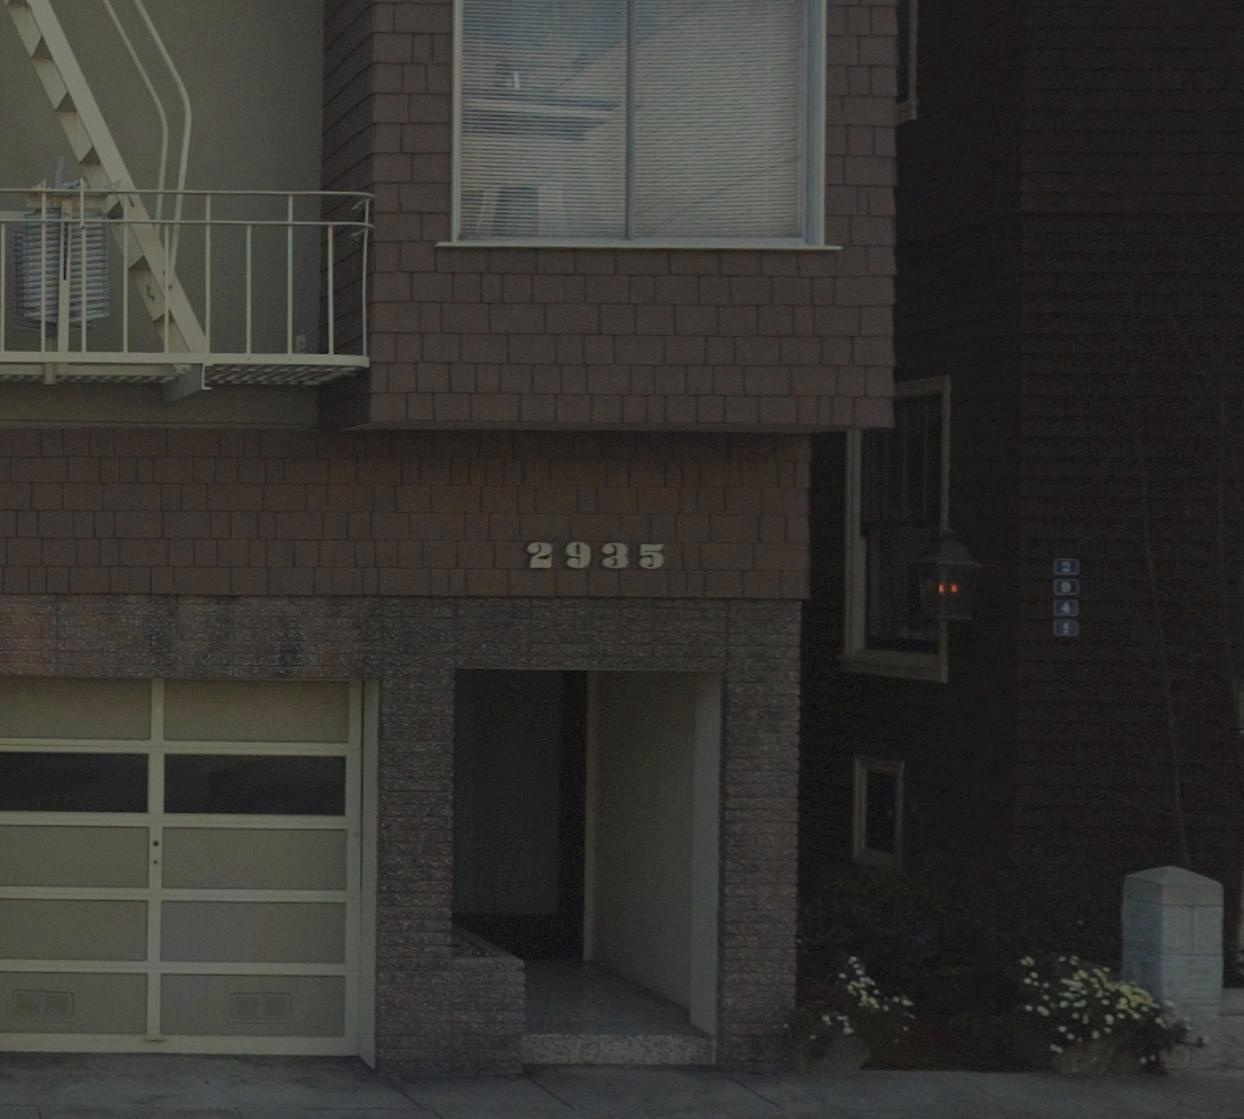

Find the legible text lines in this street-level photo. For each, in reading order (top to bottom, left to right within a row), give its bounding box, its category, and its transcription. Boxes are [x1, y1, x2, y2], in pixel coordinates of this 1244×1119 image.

[523, 538, 667, 571] StreetNumber: 2935
[1058, 559, 1073, 637] StreetNumber: 2941